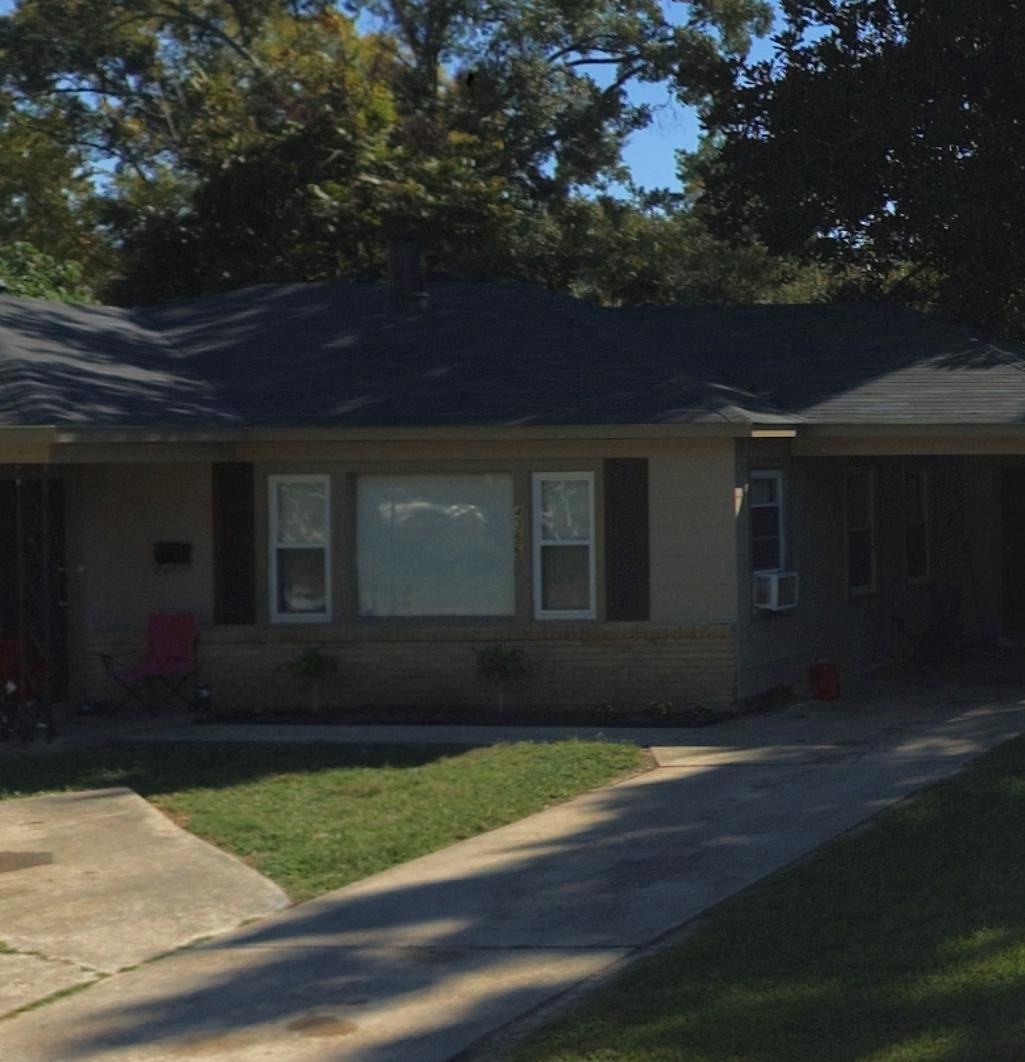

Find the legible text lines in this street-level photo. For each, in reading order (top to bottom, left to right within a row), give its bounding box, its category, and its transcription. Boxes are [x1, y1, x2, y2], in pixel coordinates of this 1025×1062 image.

[514, 506, 524, 556] StreetNumber: 4366